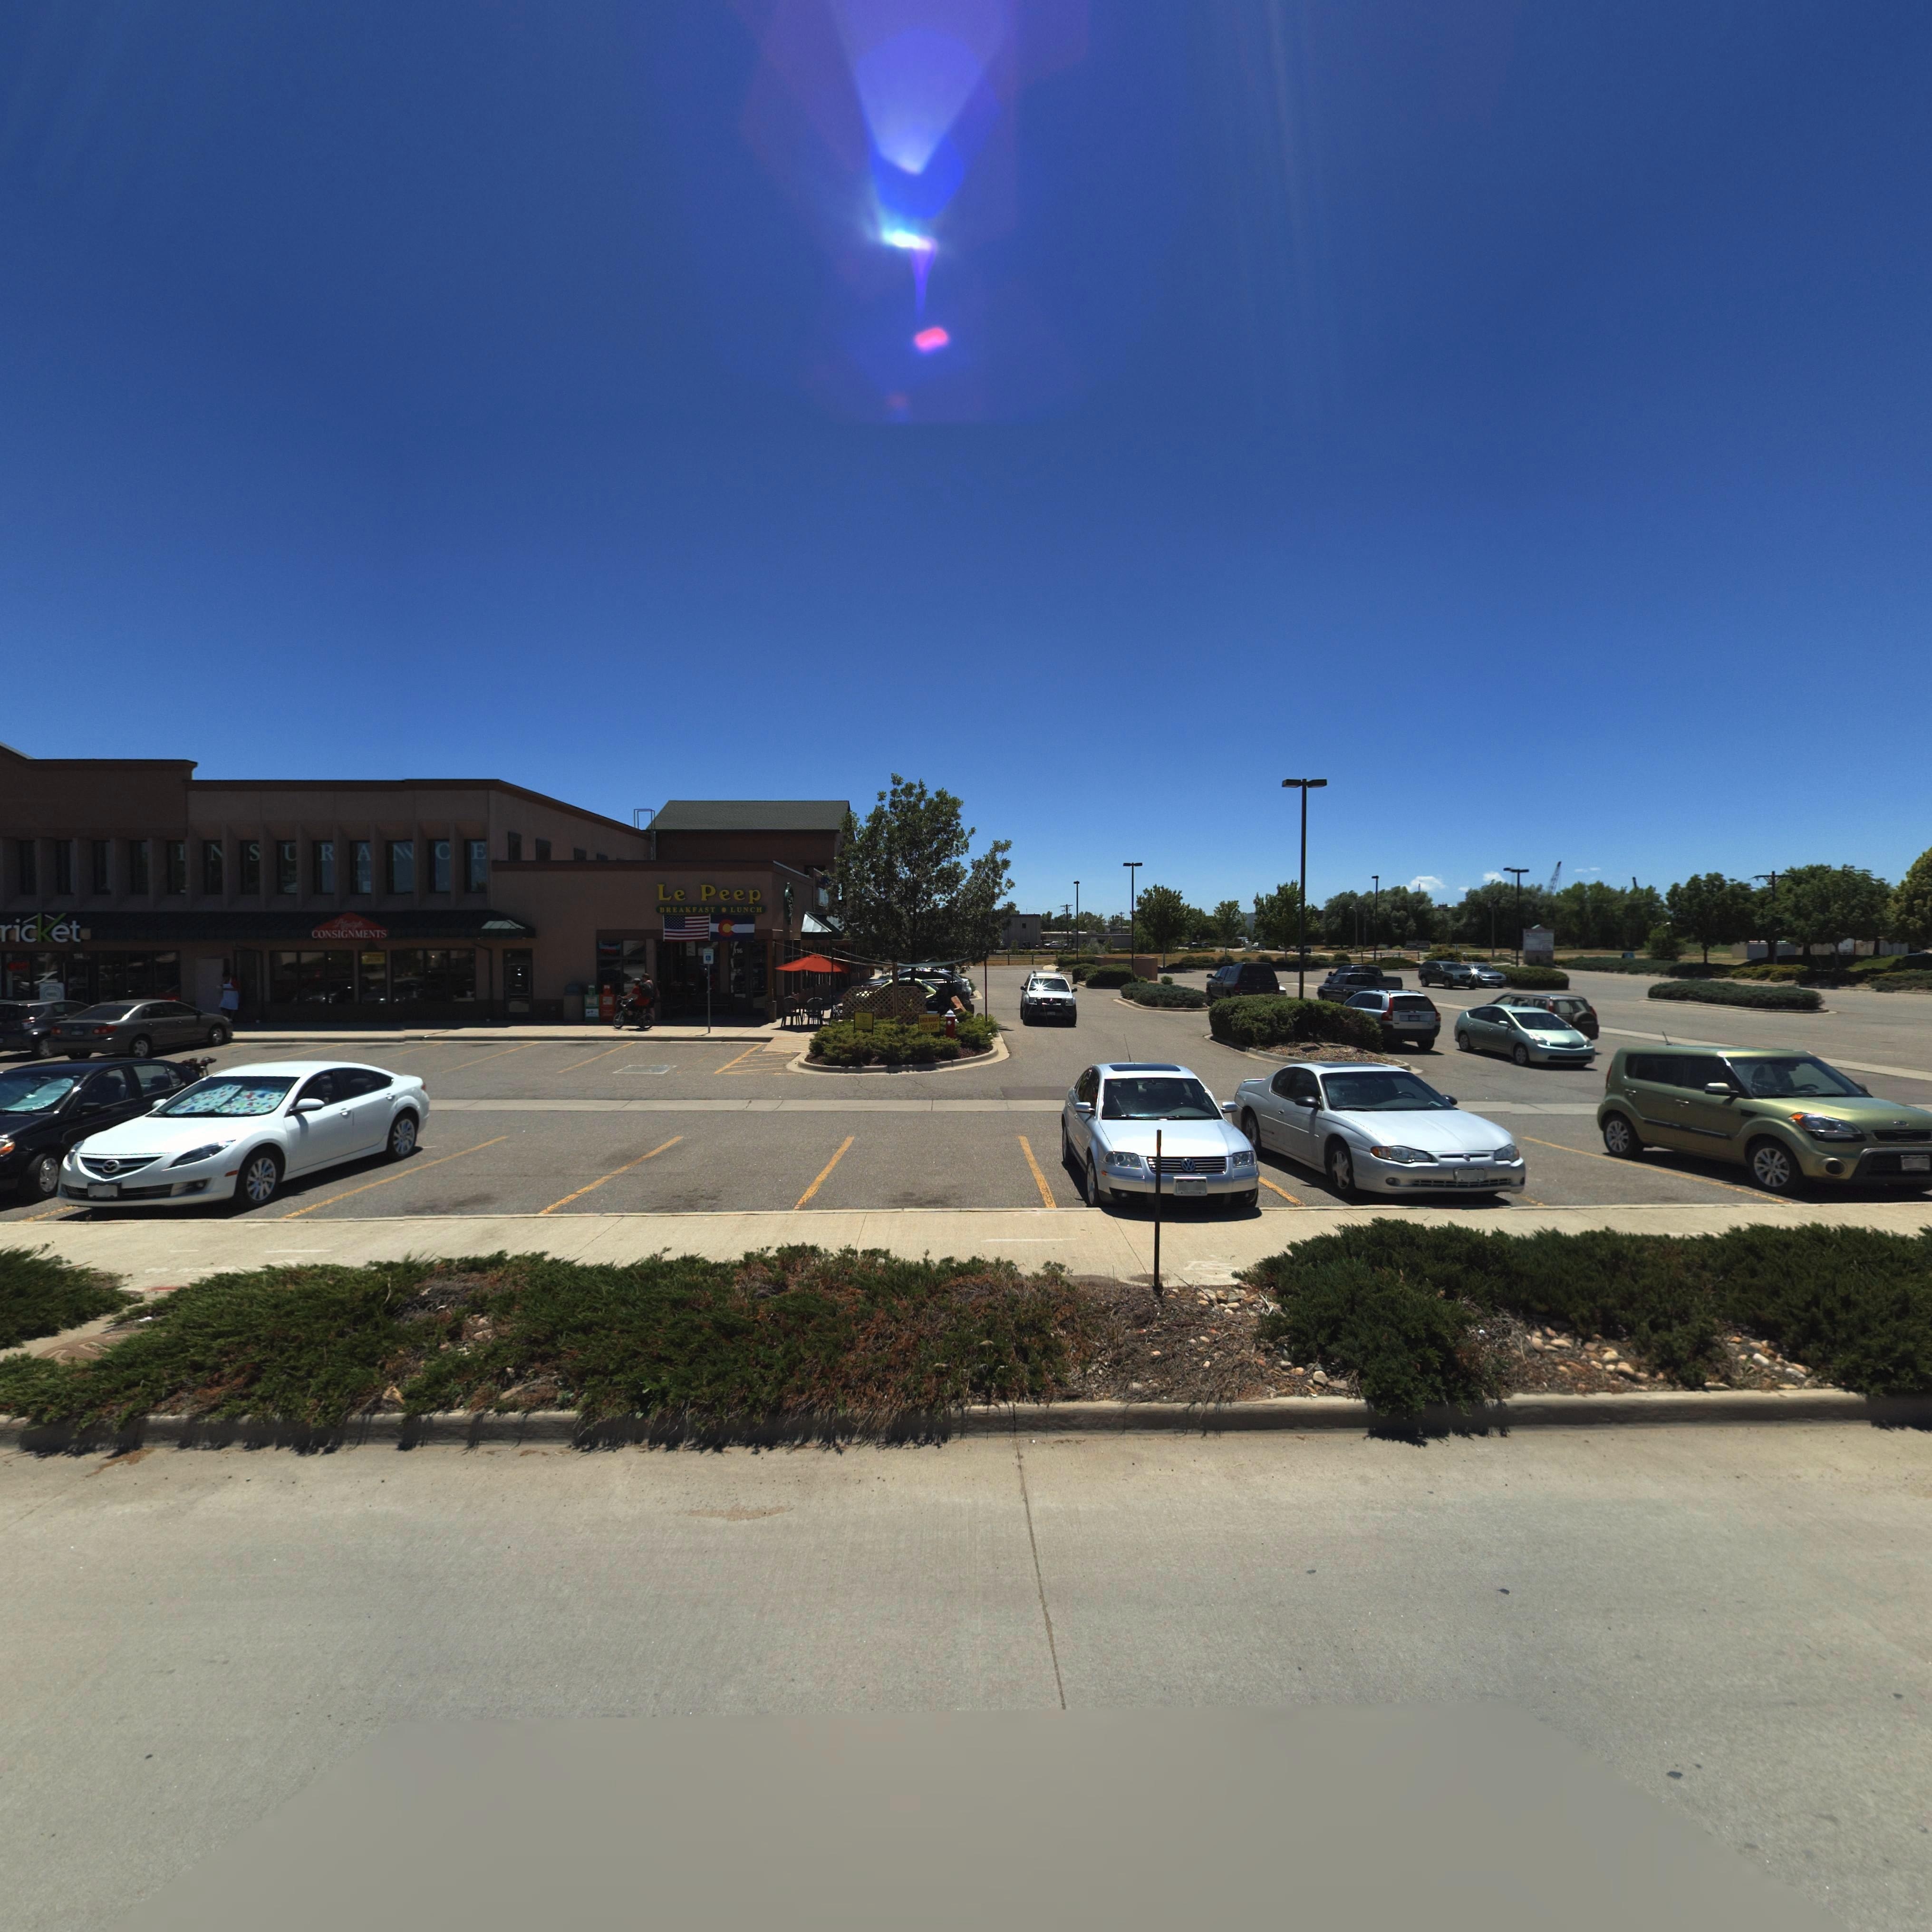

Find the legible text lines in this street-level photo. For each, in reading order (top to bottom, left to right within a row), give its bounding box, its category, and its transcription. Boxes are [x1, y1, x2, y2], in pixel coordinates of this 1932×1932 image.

[656, 883, 762, 904] BusinessName: Le Peep
[0, 918, 82, 943] BusinessName: ricket